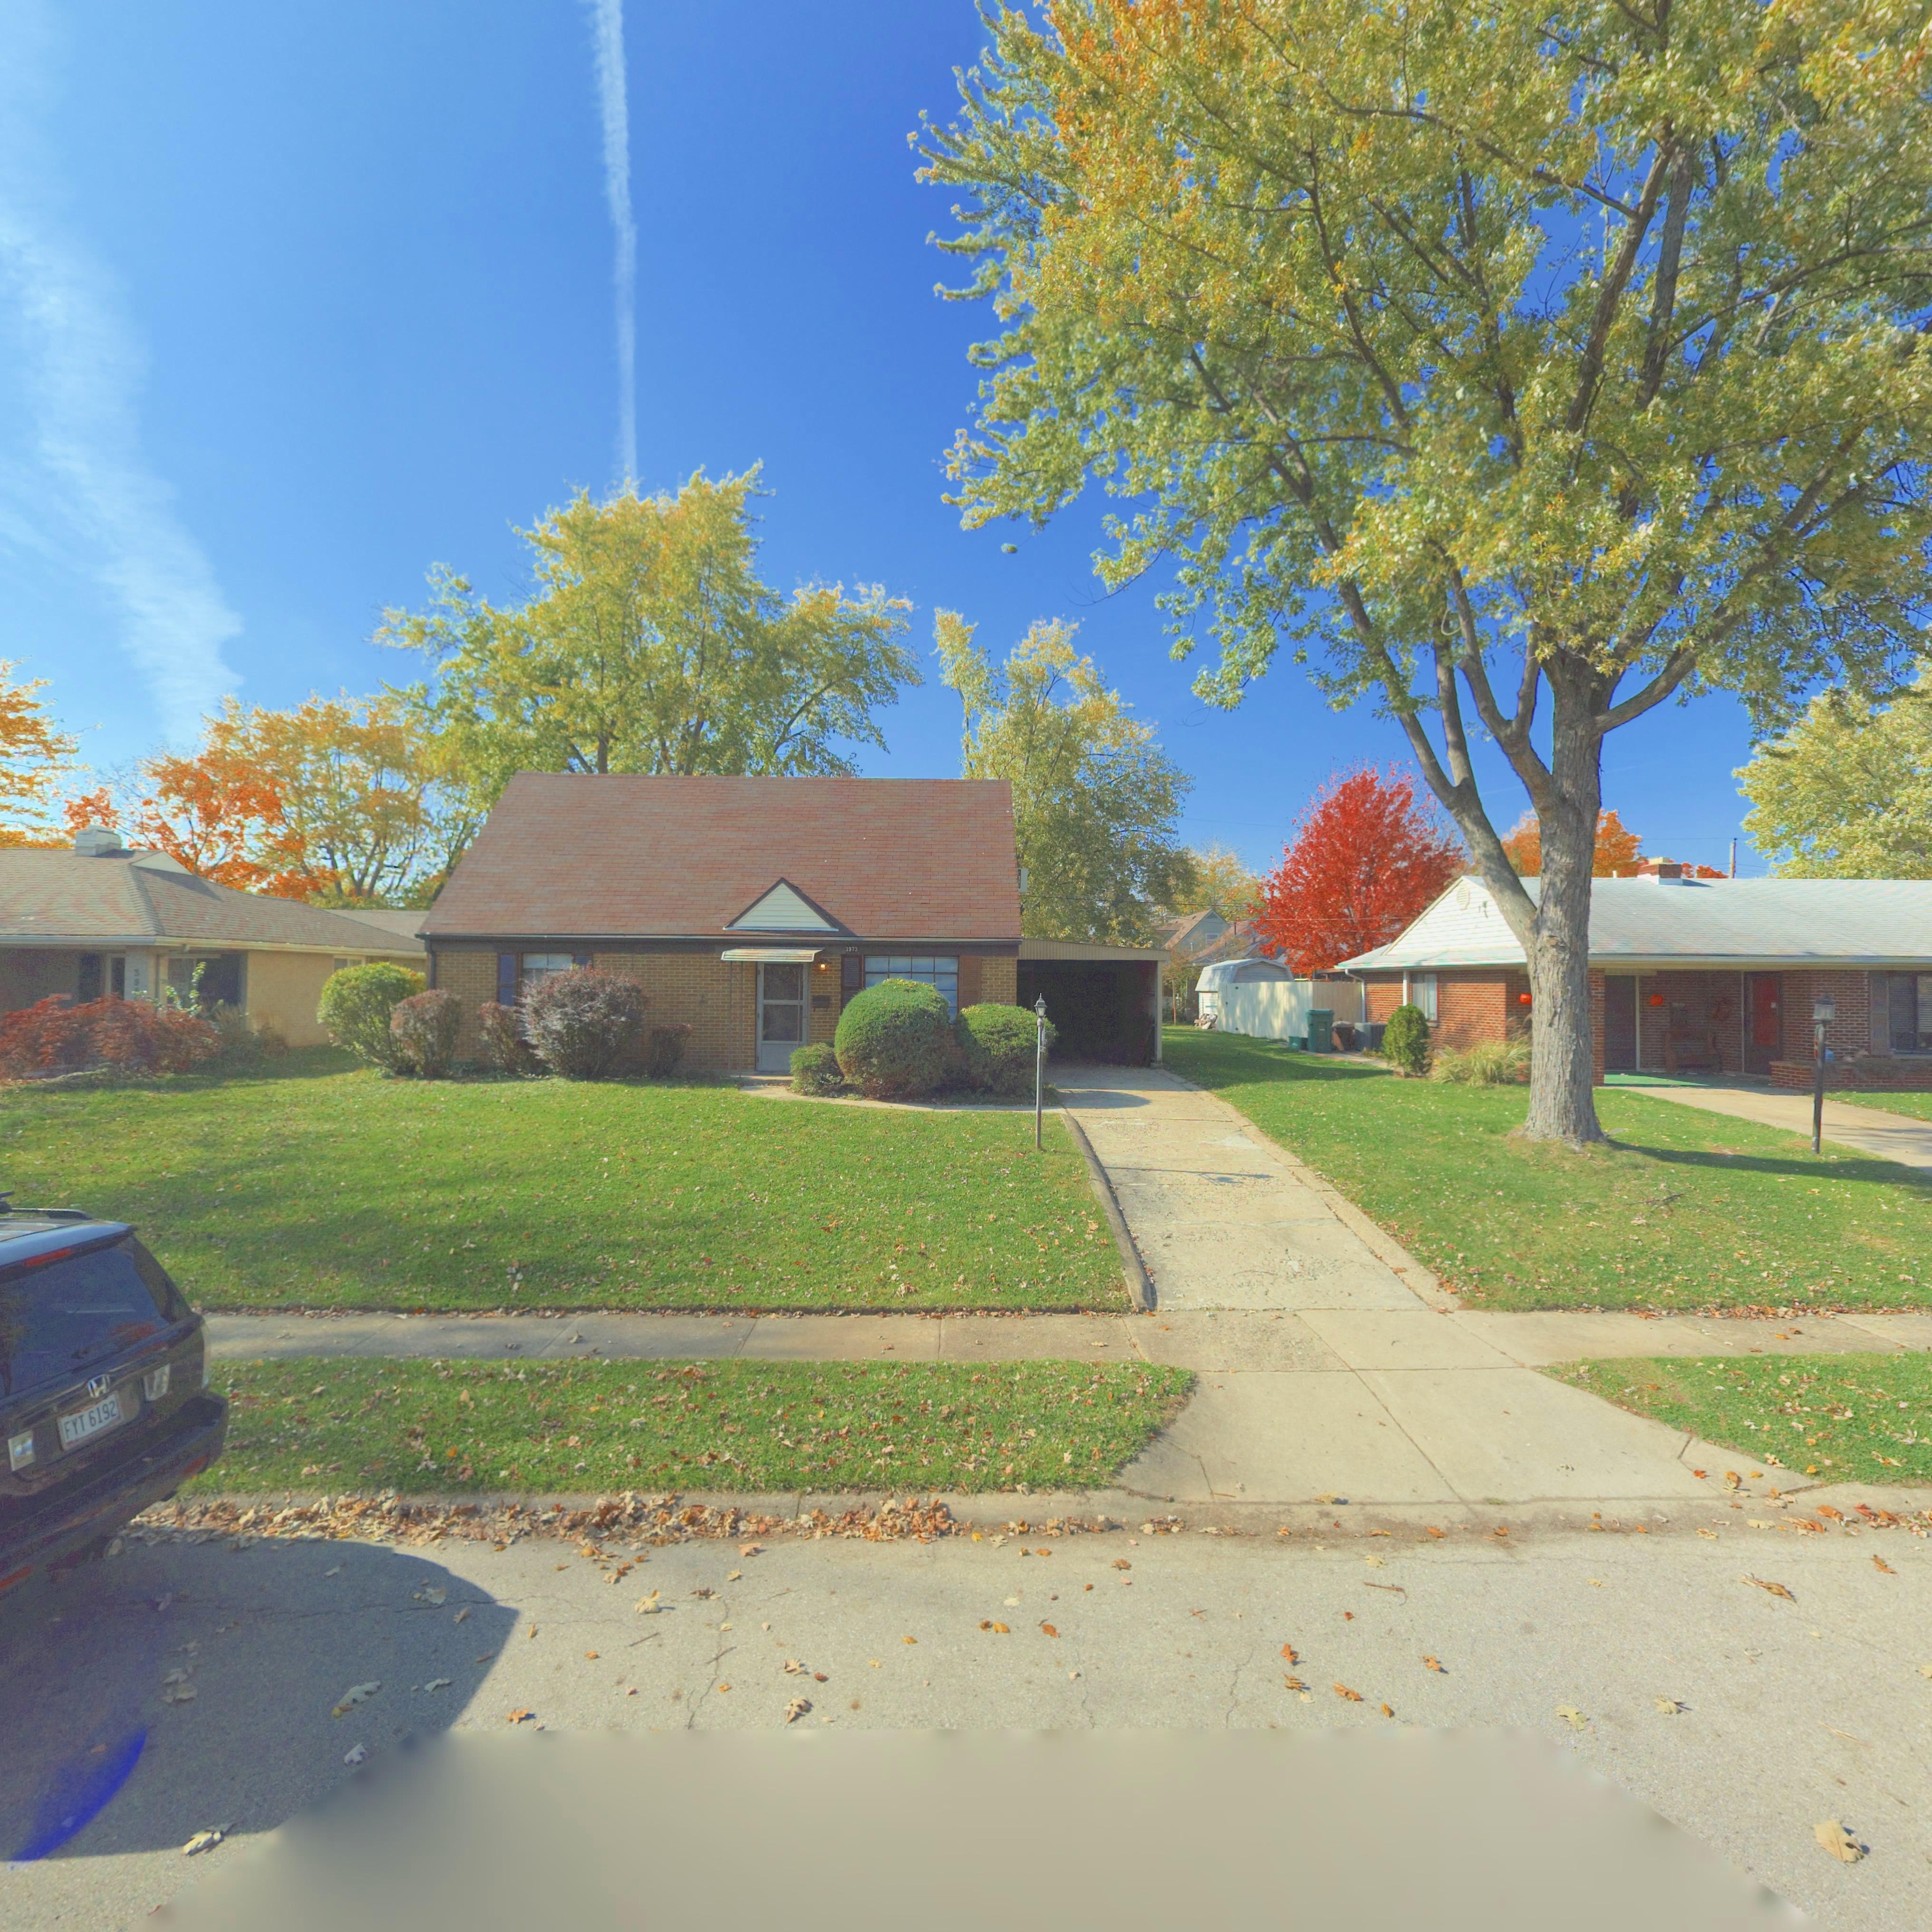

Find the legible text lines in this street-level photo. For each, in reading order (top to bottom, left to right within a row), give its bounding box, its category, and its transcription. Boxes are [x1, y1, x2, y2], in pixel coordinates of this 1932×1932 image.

[845, 946, 859, 953] StreetNumber: 3973
[90, 1373, 108, 1399] None: H
[61, 1397, 120, 1442] None: FYT 6192